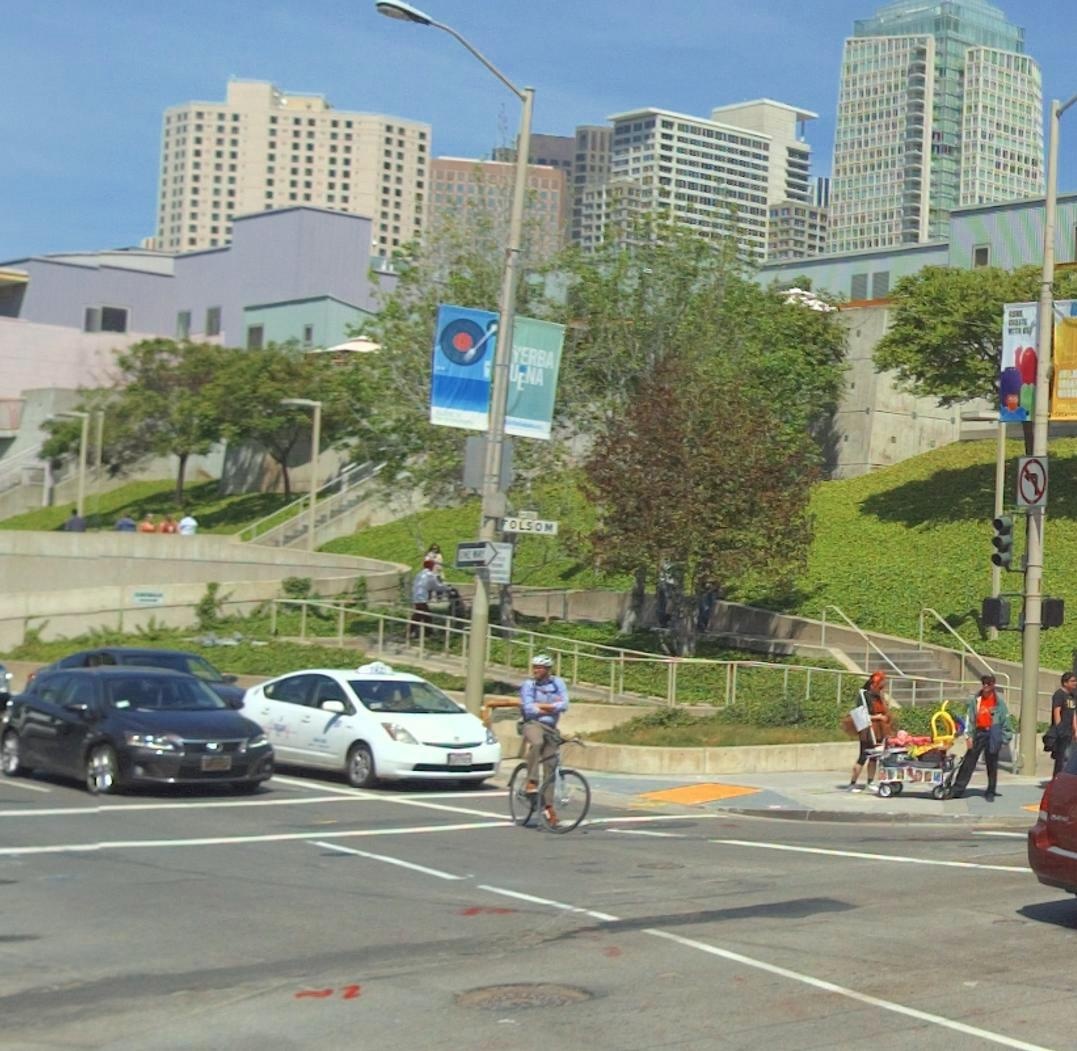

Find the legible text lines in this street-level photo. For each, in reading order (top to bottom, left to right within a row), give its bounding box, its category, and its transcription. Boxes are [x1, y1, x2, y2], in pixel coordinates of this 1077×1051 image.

[519, 345, 556, 370] None: ERBA
[523, 365, 546, 388] None: NA
[500, 519, 555, 532] StreetName: FOLSOM